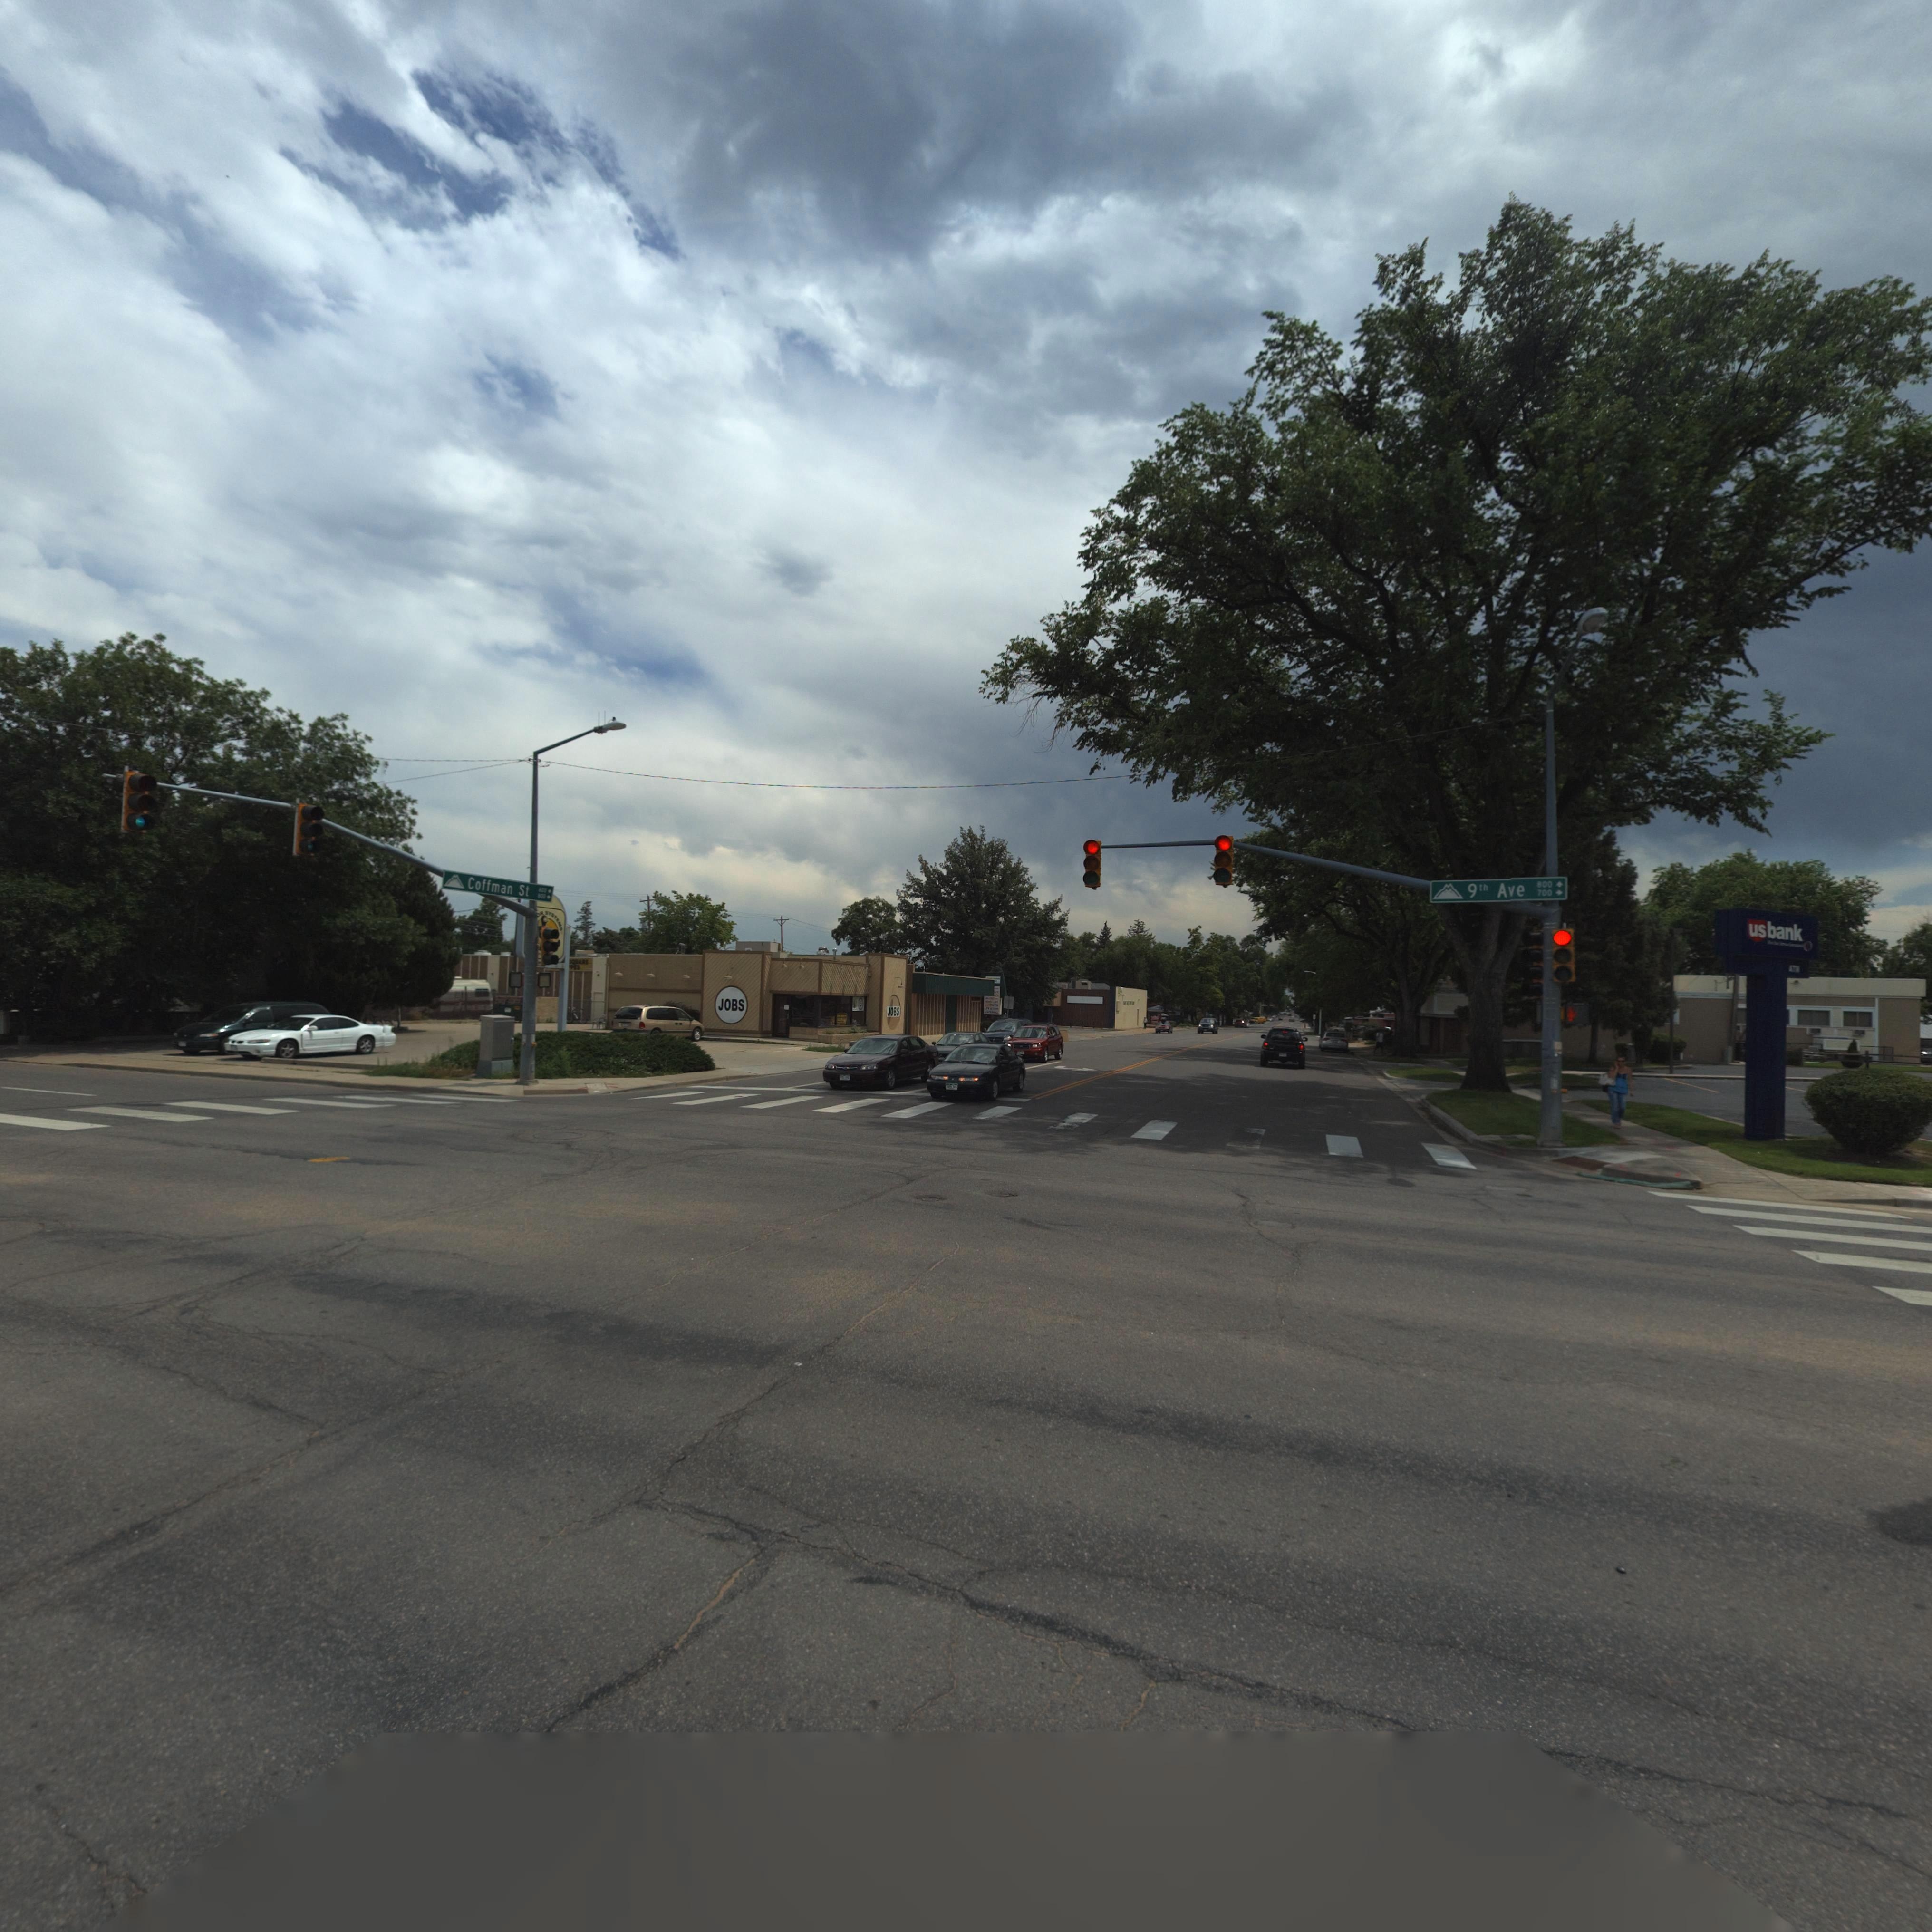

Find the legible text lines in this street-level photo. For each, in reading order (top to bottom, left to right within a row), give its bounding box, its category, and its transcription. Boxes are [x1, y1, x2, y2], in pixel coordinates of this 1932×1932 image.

[467, 877, 530, 897] StreetName: Coffman St
[538, 887, 547, 893] StreetNumberRange: 600
[537, 893, 551, 899] StreetNumberRange: *00->
[1467, 882, 1525, 898] StreetName: 9th Ave
[1536, 880, 1553, 888] StreetNumberRange: 800
[1537, 889, 1563, 897] StreetNumberRange: 700->
[536, 909, 563, 931] BusinessName: OR SYSTEMS
[1748, 920, 1805, 942] BusinessName: usbank